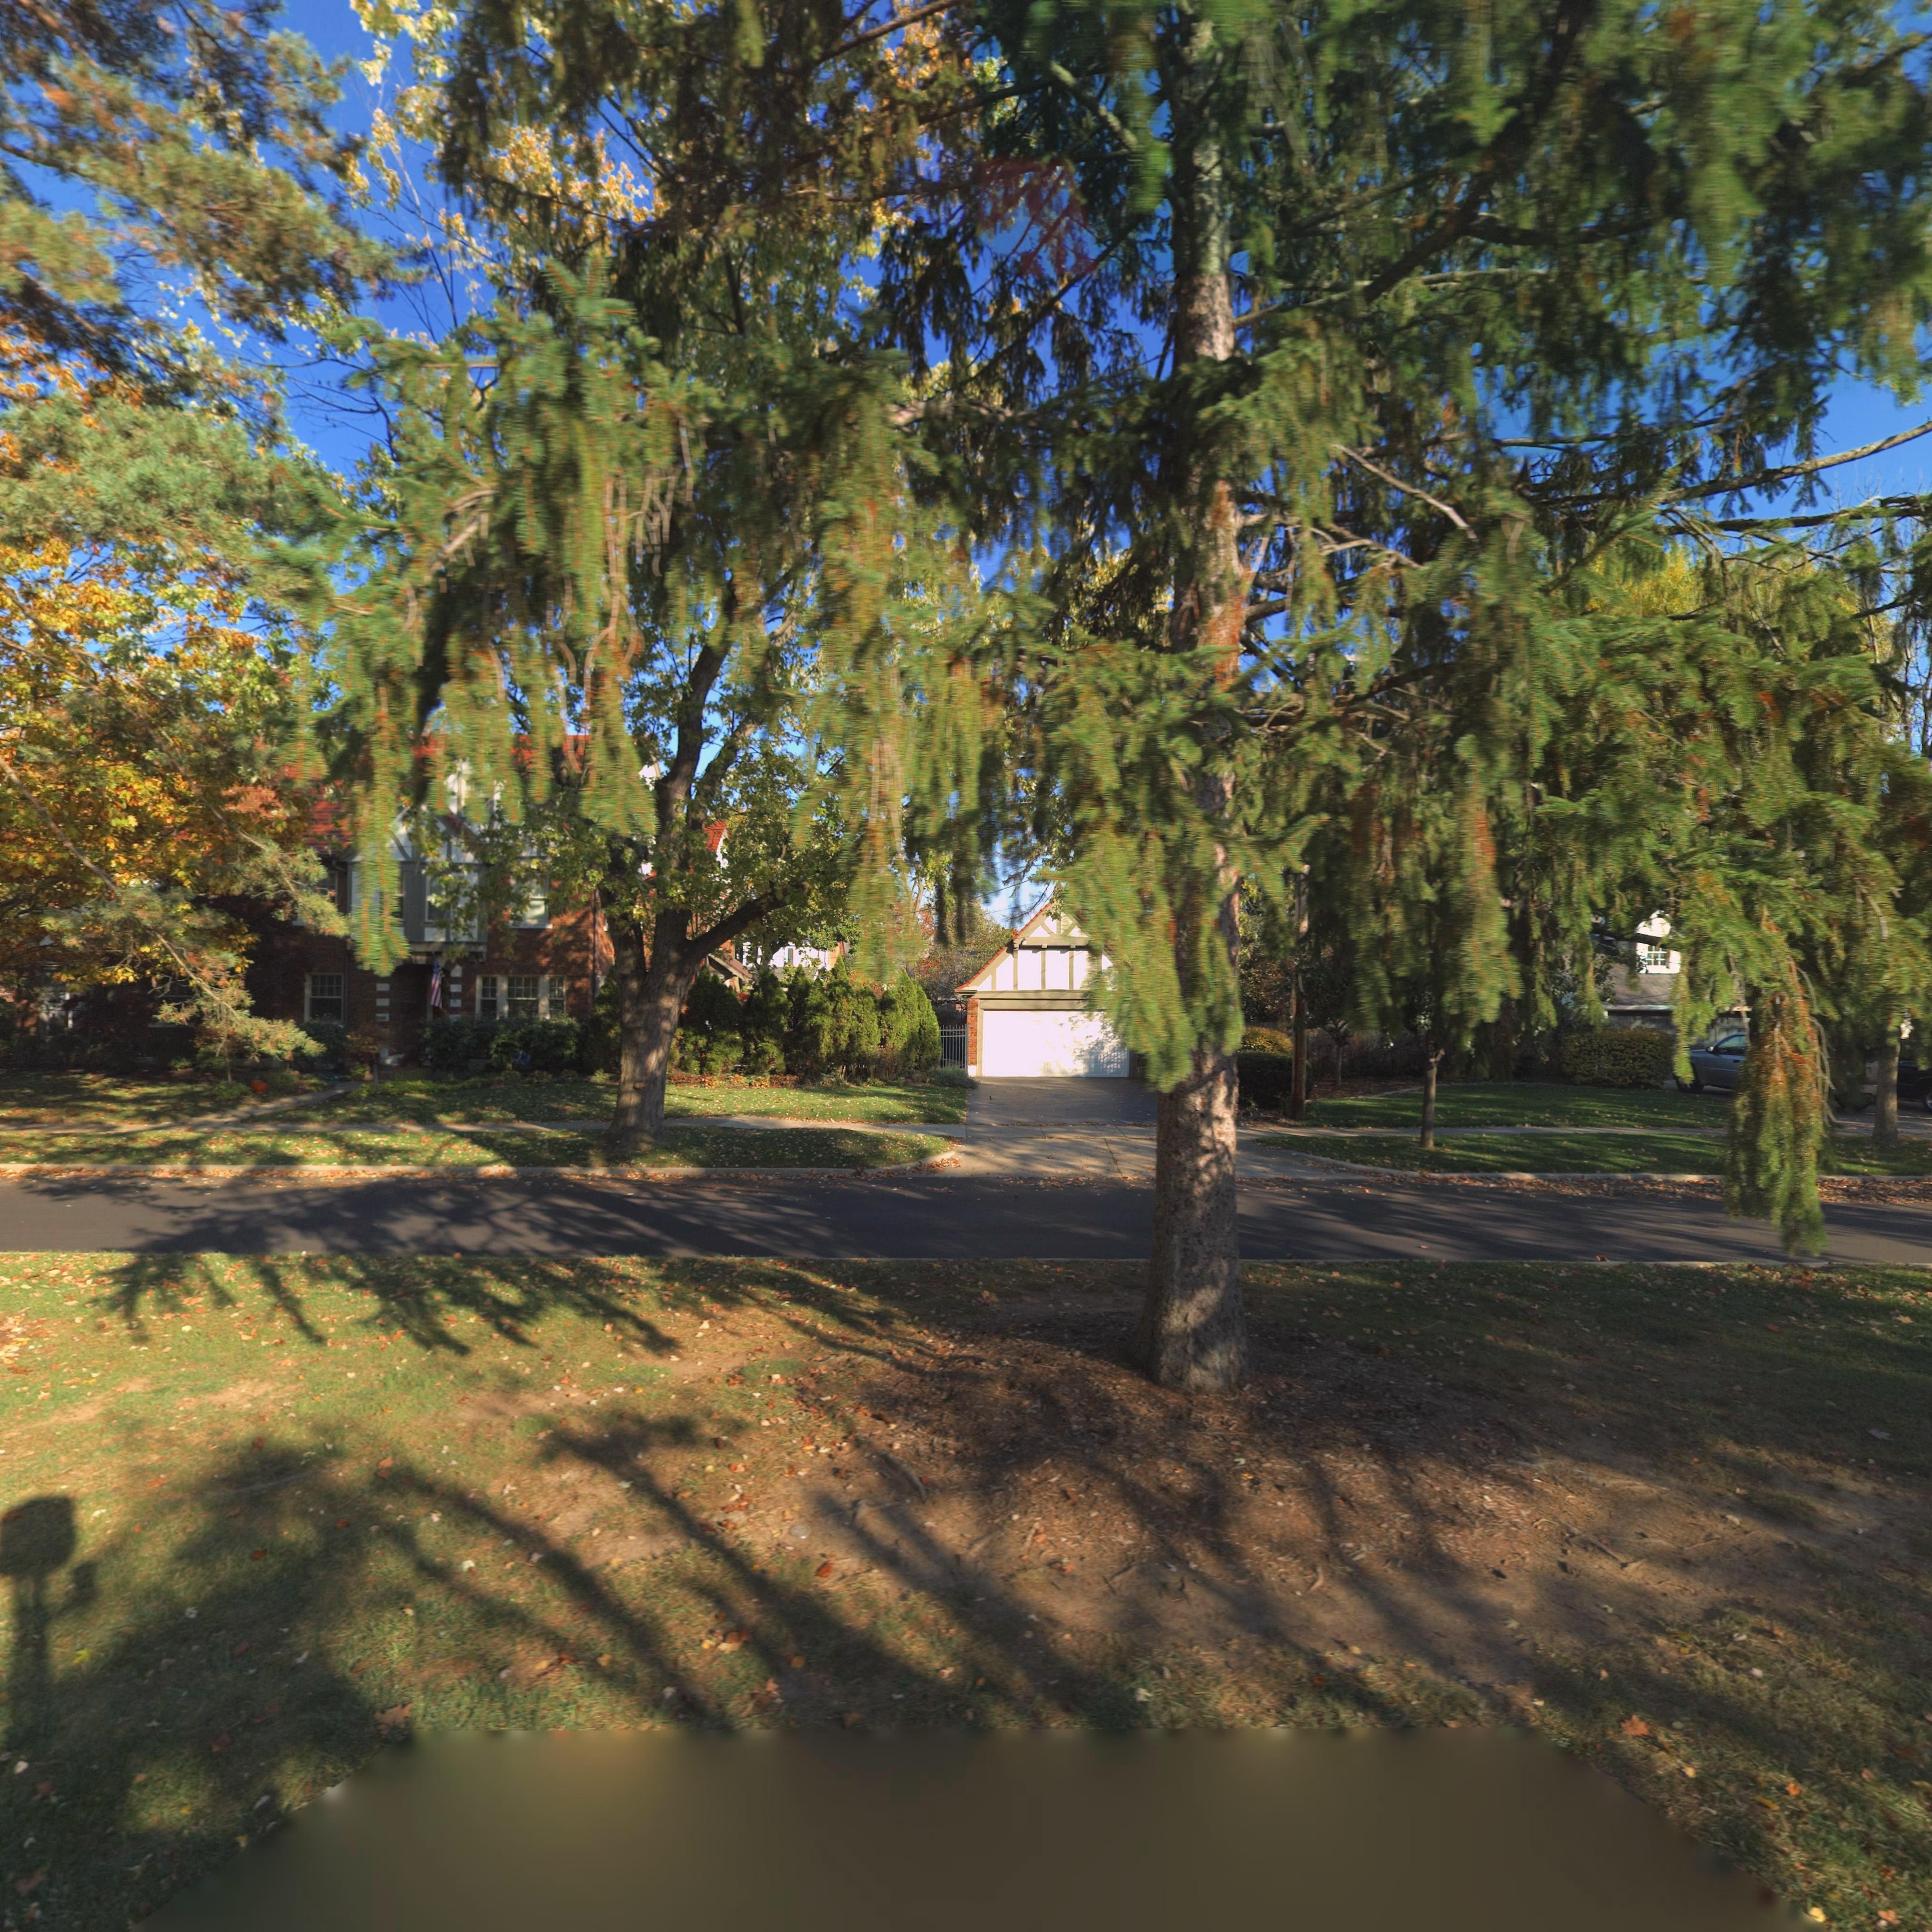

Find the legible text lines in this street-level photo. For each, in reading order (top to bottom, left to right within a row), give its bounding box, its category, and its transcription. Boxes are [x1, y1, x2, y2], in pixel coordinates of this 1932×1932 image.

[376, 1014, 387, 1021] StreetNumber: 200